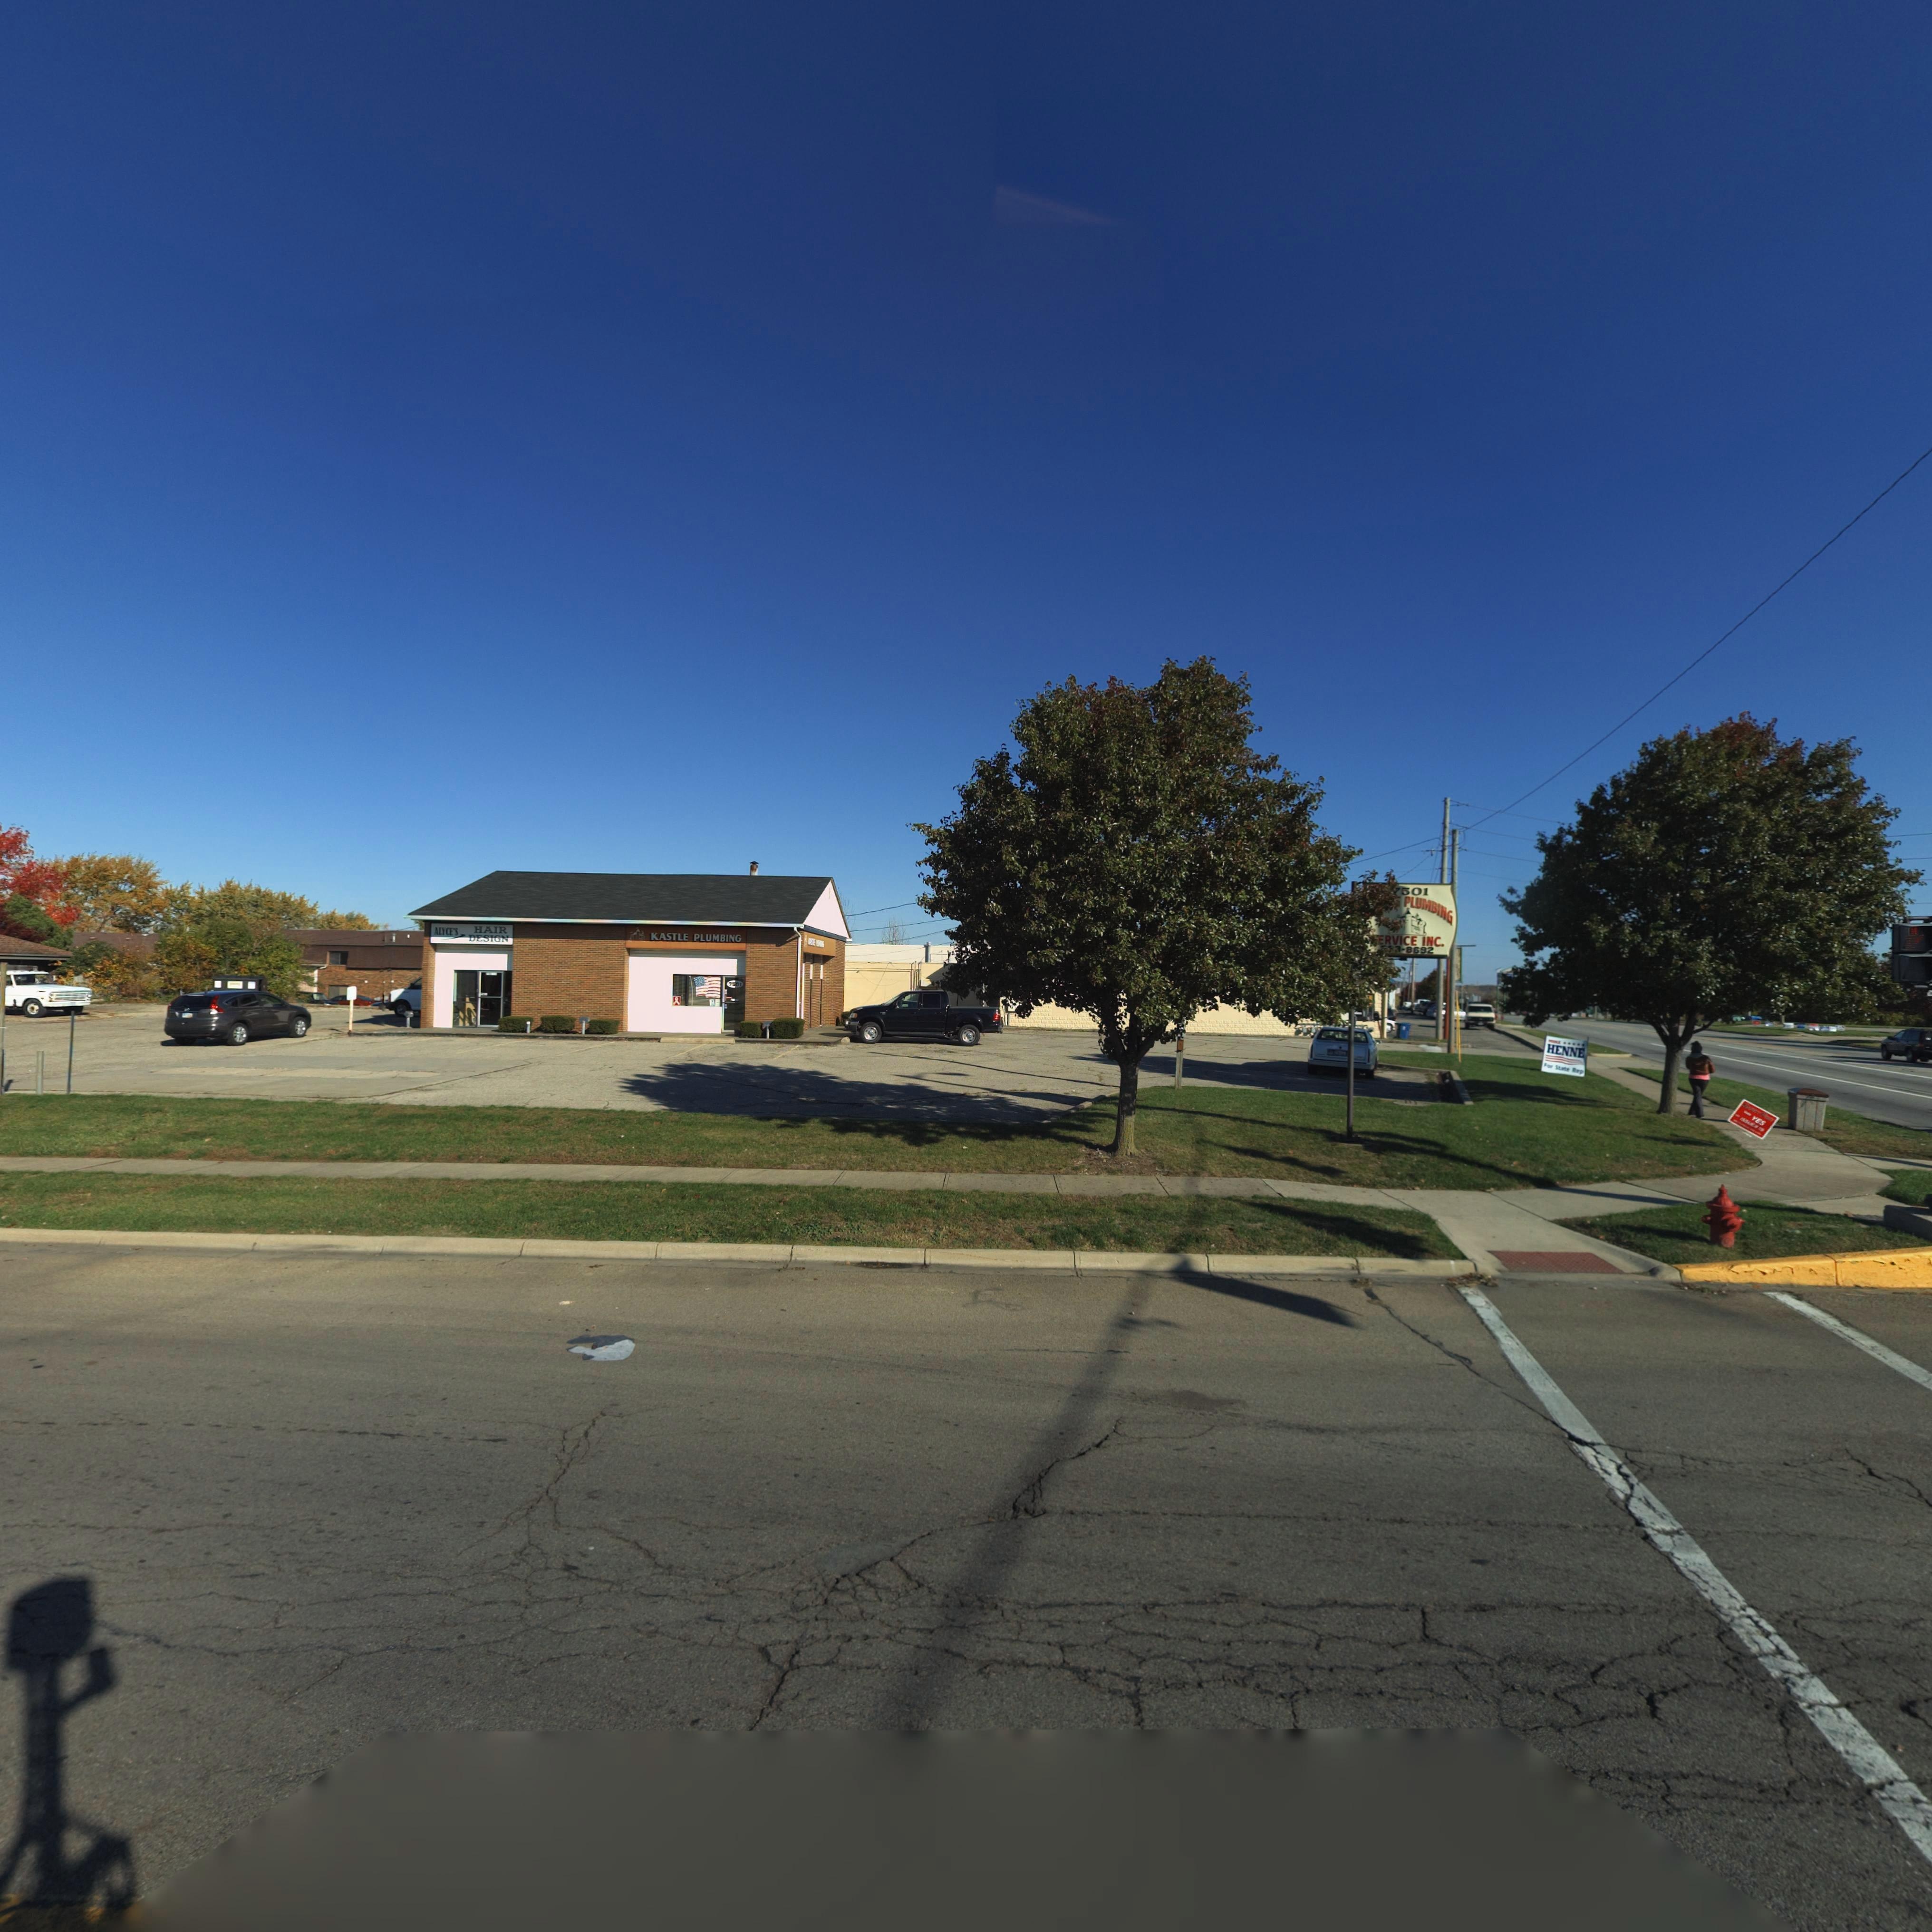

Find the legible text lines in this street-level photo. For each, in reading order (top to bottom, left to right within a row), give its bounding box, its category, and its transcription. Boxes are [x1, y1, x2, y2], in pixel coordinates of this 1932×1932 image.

[1401, 886, 1430, 897] StreetNumber: 501
[1403, 896, 1454, 927] BusinessName: PLUMBING
[433, 927, 459, 937] BusinessName: ALYCE'S
[473, 925, 507, 934] BusinessName: HAIR
[468, 934, 510, 943] BusinessName: DESIGN
[650, 932, 743, 943] BusinessName: KASTLE PLUMBING
[1377, 934, 1446, 947] BusinessName: ERVICE INC.
[728, 981, 742, 987] StreetNumber: 7*01